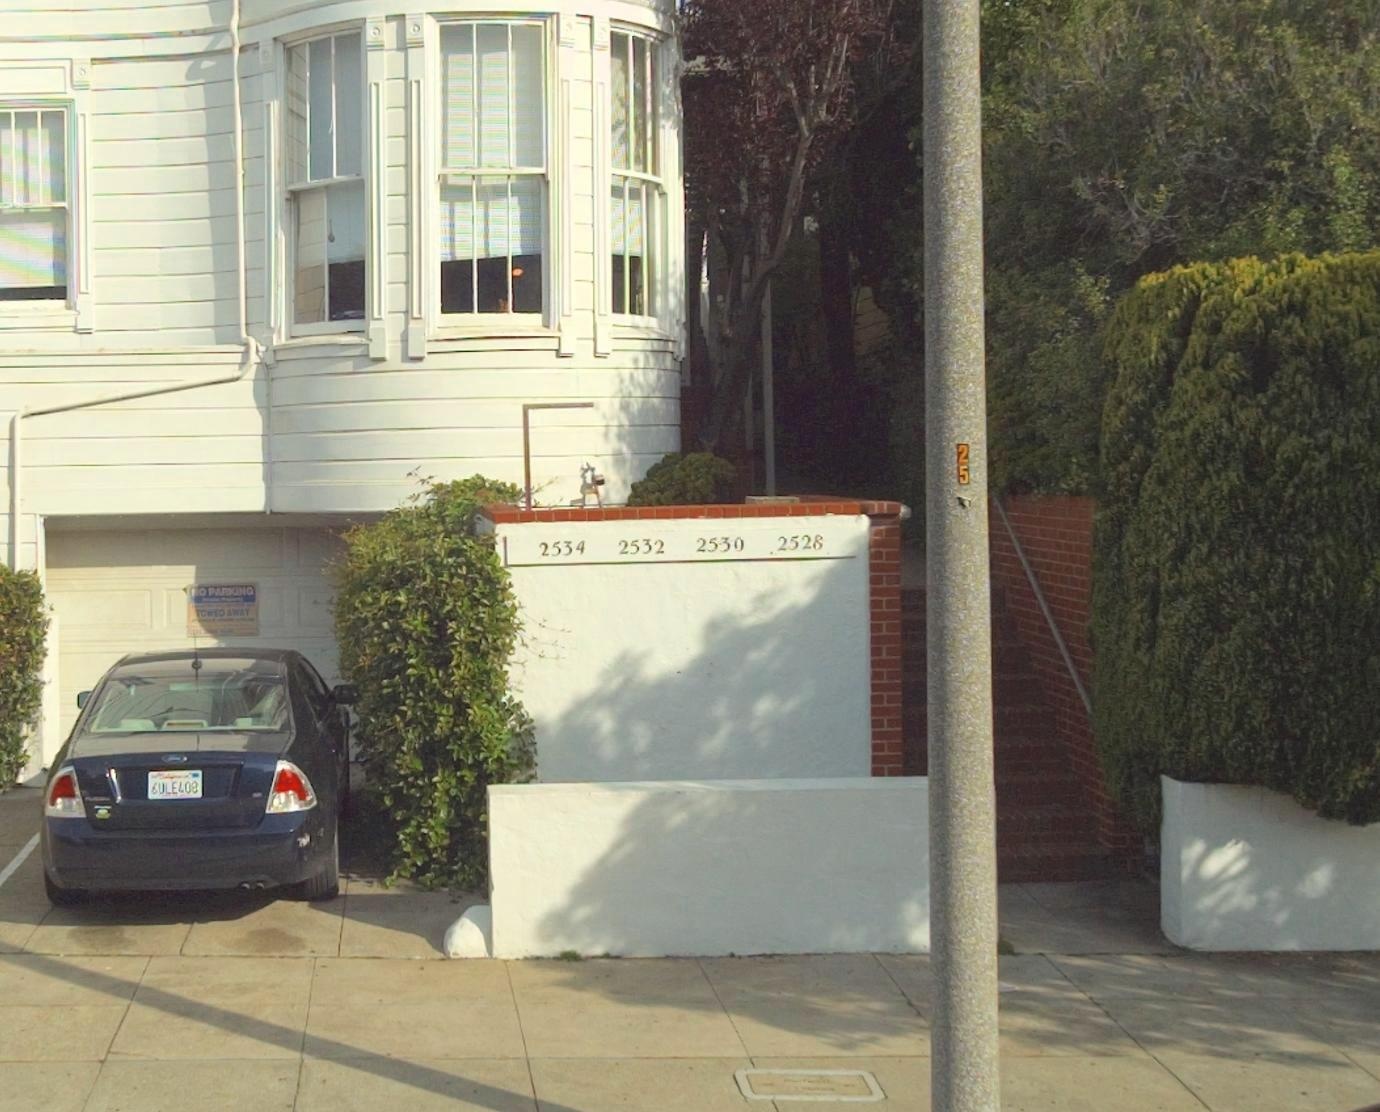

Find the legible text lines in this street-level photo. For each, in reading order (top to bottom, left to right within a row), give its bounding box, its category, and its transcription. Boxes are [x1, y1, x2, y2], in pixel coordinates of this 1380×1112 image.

[957, 443, 970, 485] None: 25
[536, 538, 587, 560] StreetNumber: 2534
[615, 536, 667, 557] StreetNumber: 2532
[694, 534, 747, 556] StreetNumber: 2530
[774, 532, 826, 553] StreetNumber: 2528
[190, 586, 257, 598] None: NO PARKING
[194, 607, 253, 619] None: TOWED AWAY
[149, 779, 201, 797] None: 6ULE408